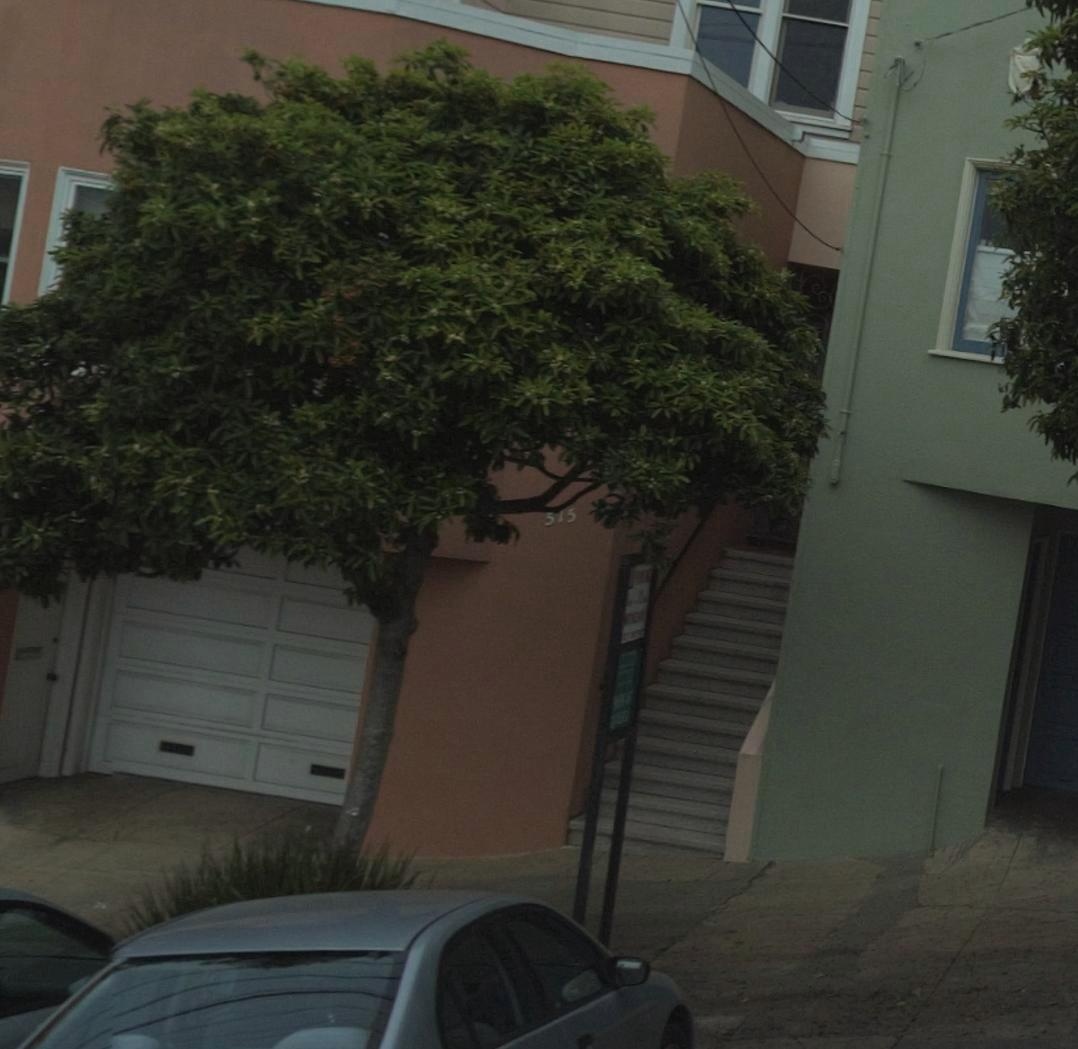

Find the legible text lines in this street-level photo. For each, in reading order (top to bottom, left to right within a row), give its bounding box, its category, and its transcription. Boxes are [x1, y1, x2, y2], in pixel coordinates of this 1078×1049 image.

[543, 506, 578, 527] StreetNumber: 515